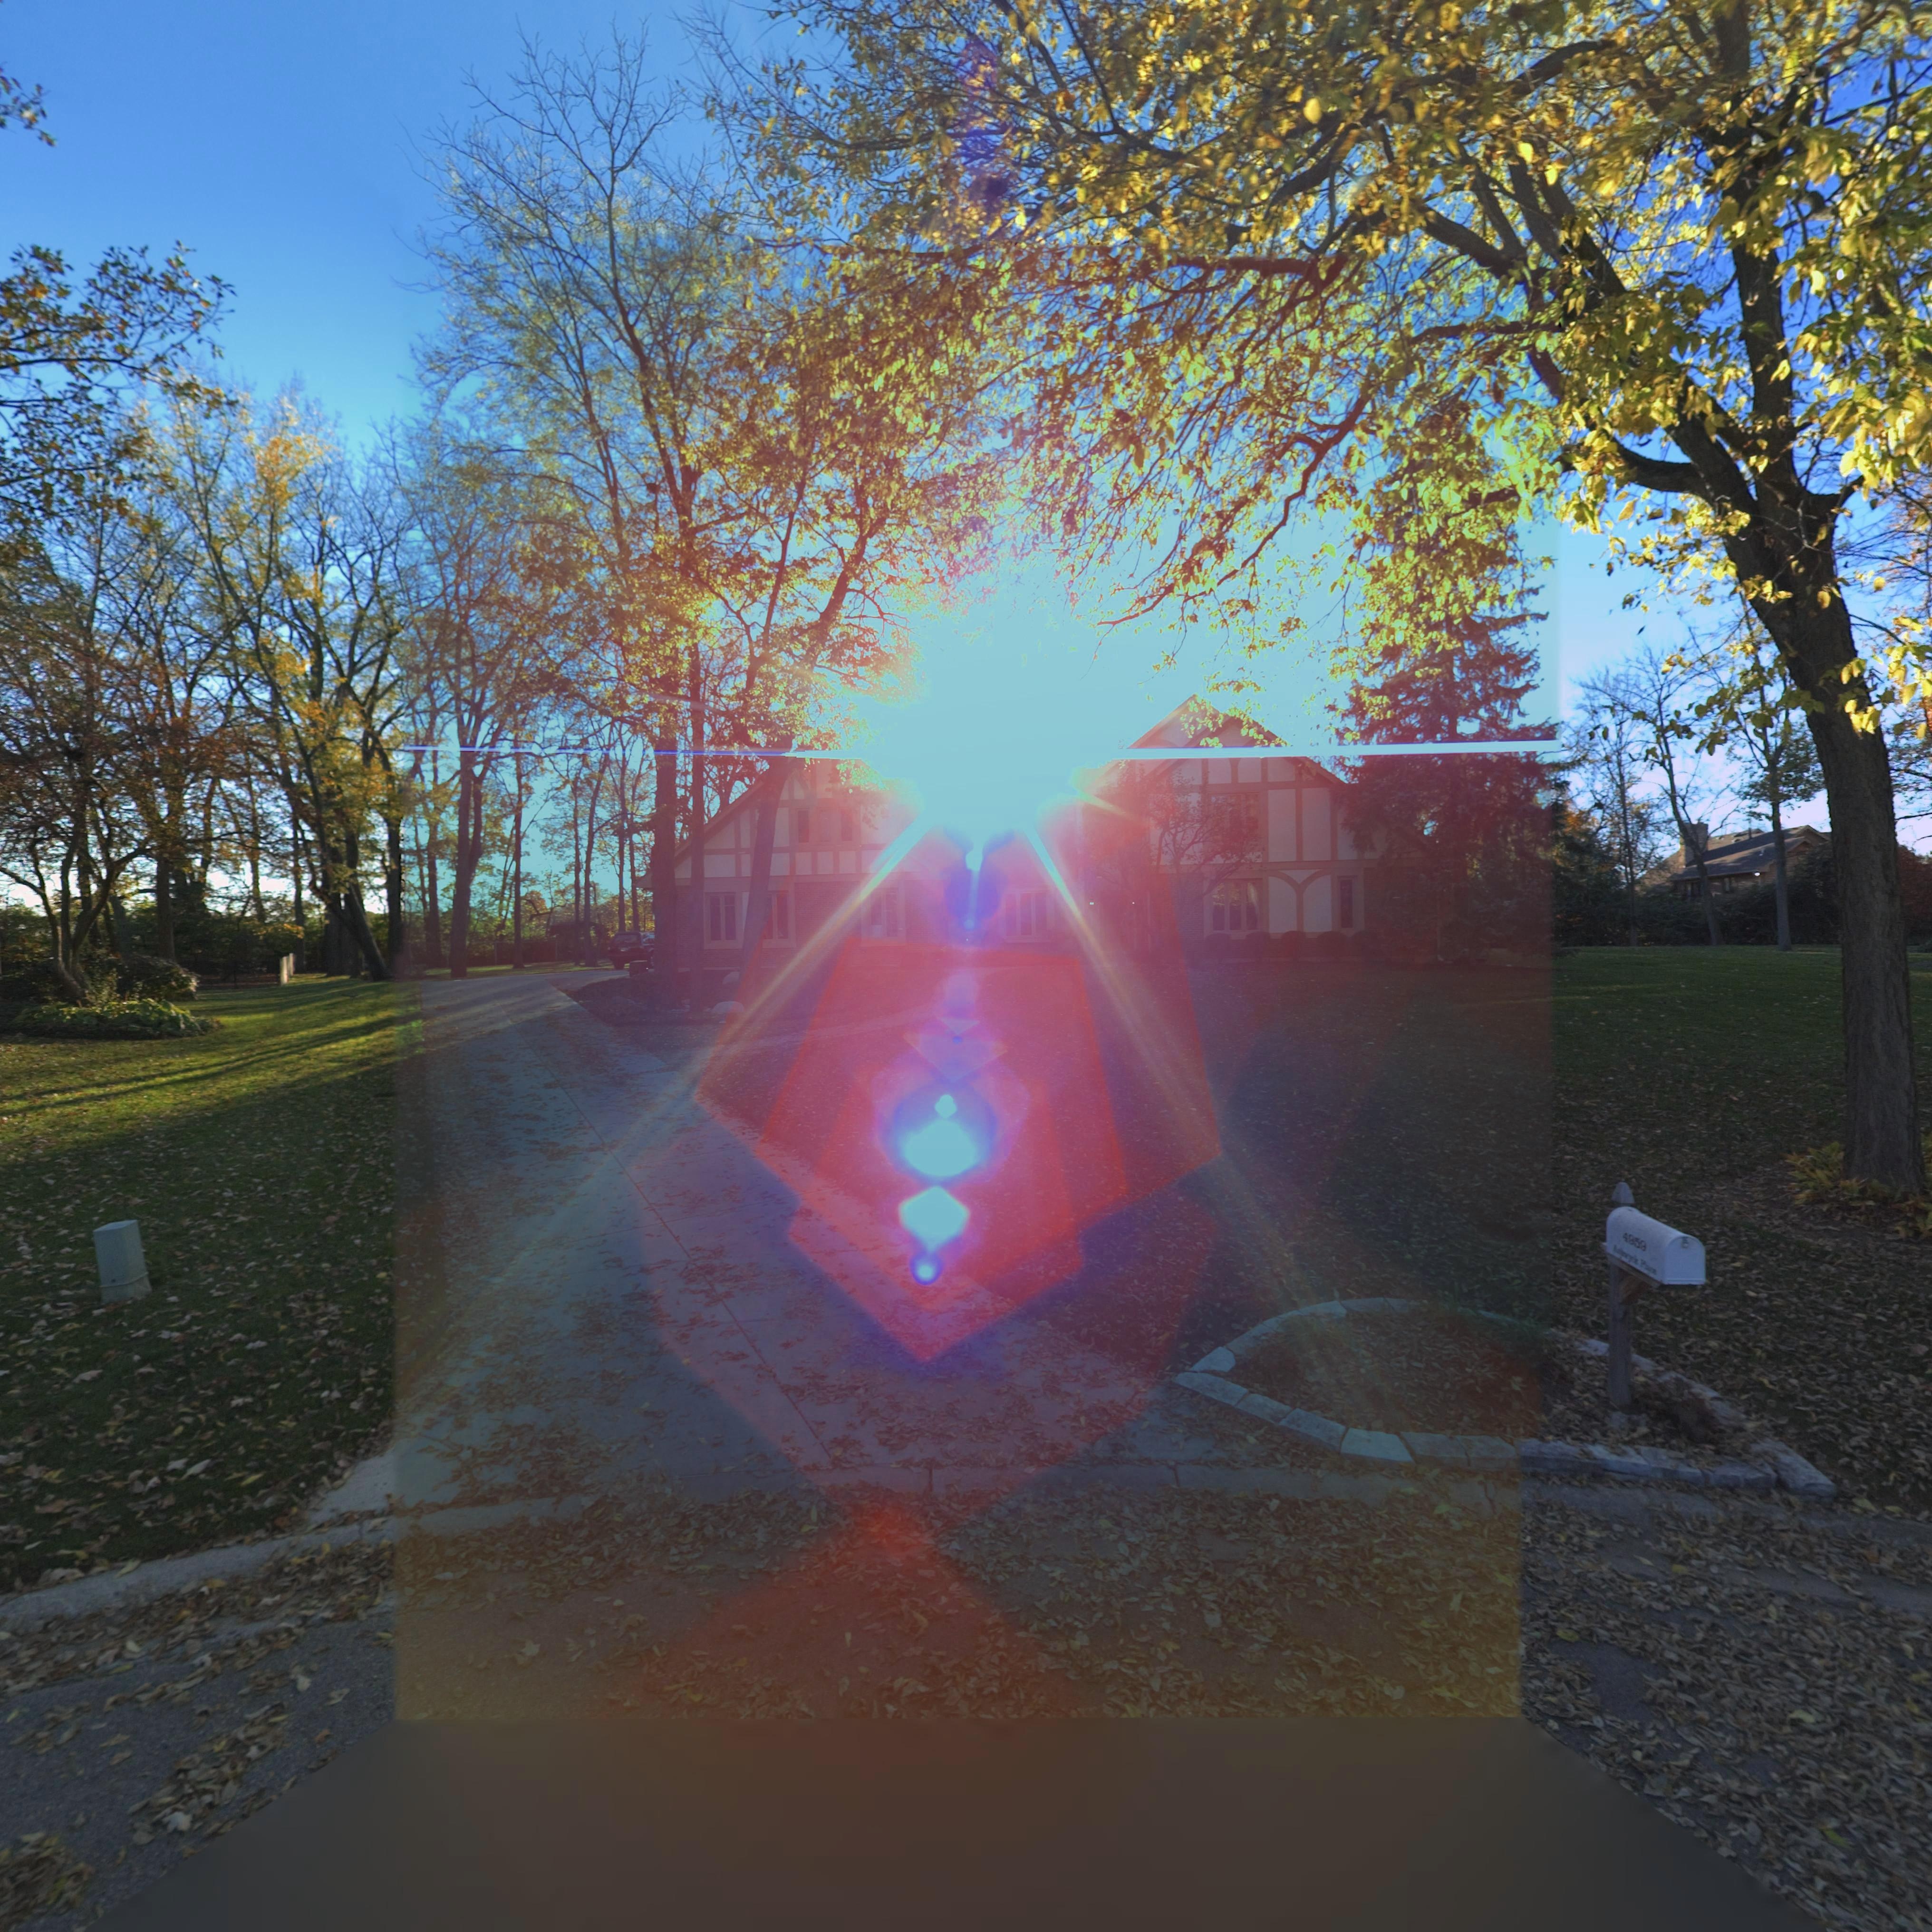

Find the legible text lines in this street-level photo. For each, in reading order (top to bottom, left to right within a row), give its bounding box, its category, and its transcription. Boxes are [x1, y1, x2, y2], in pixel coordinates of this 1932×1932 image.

[1621, 1230, 1648, 1253] StreetNumber: 4*5*
[1639, 1257, 1658, 1276] StreetName: Place